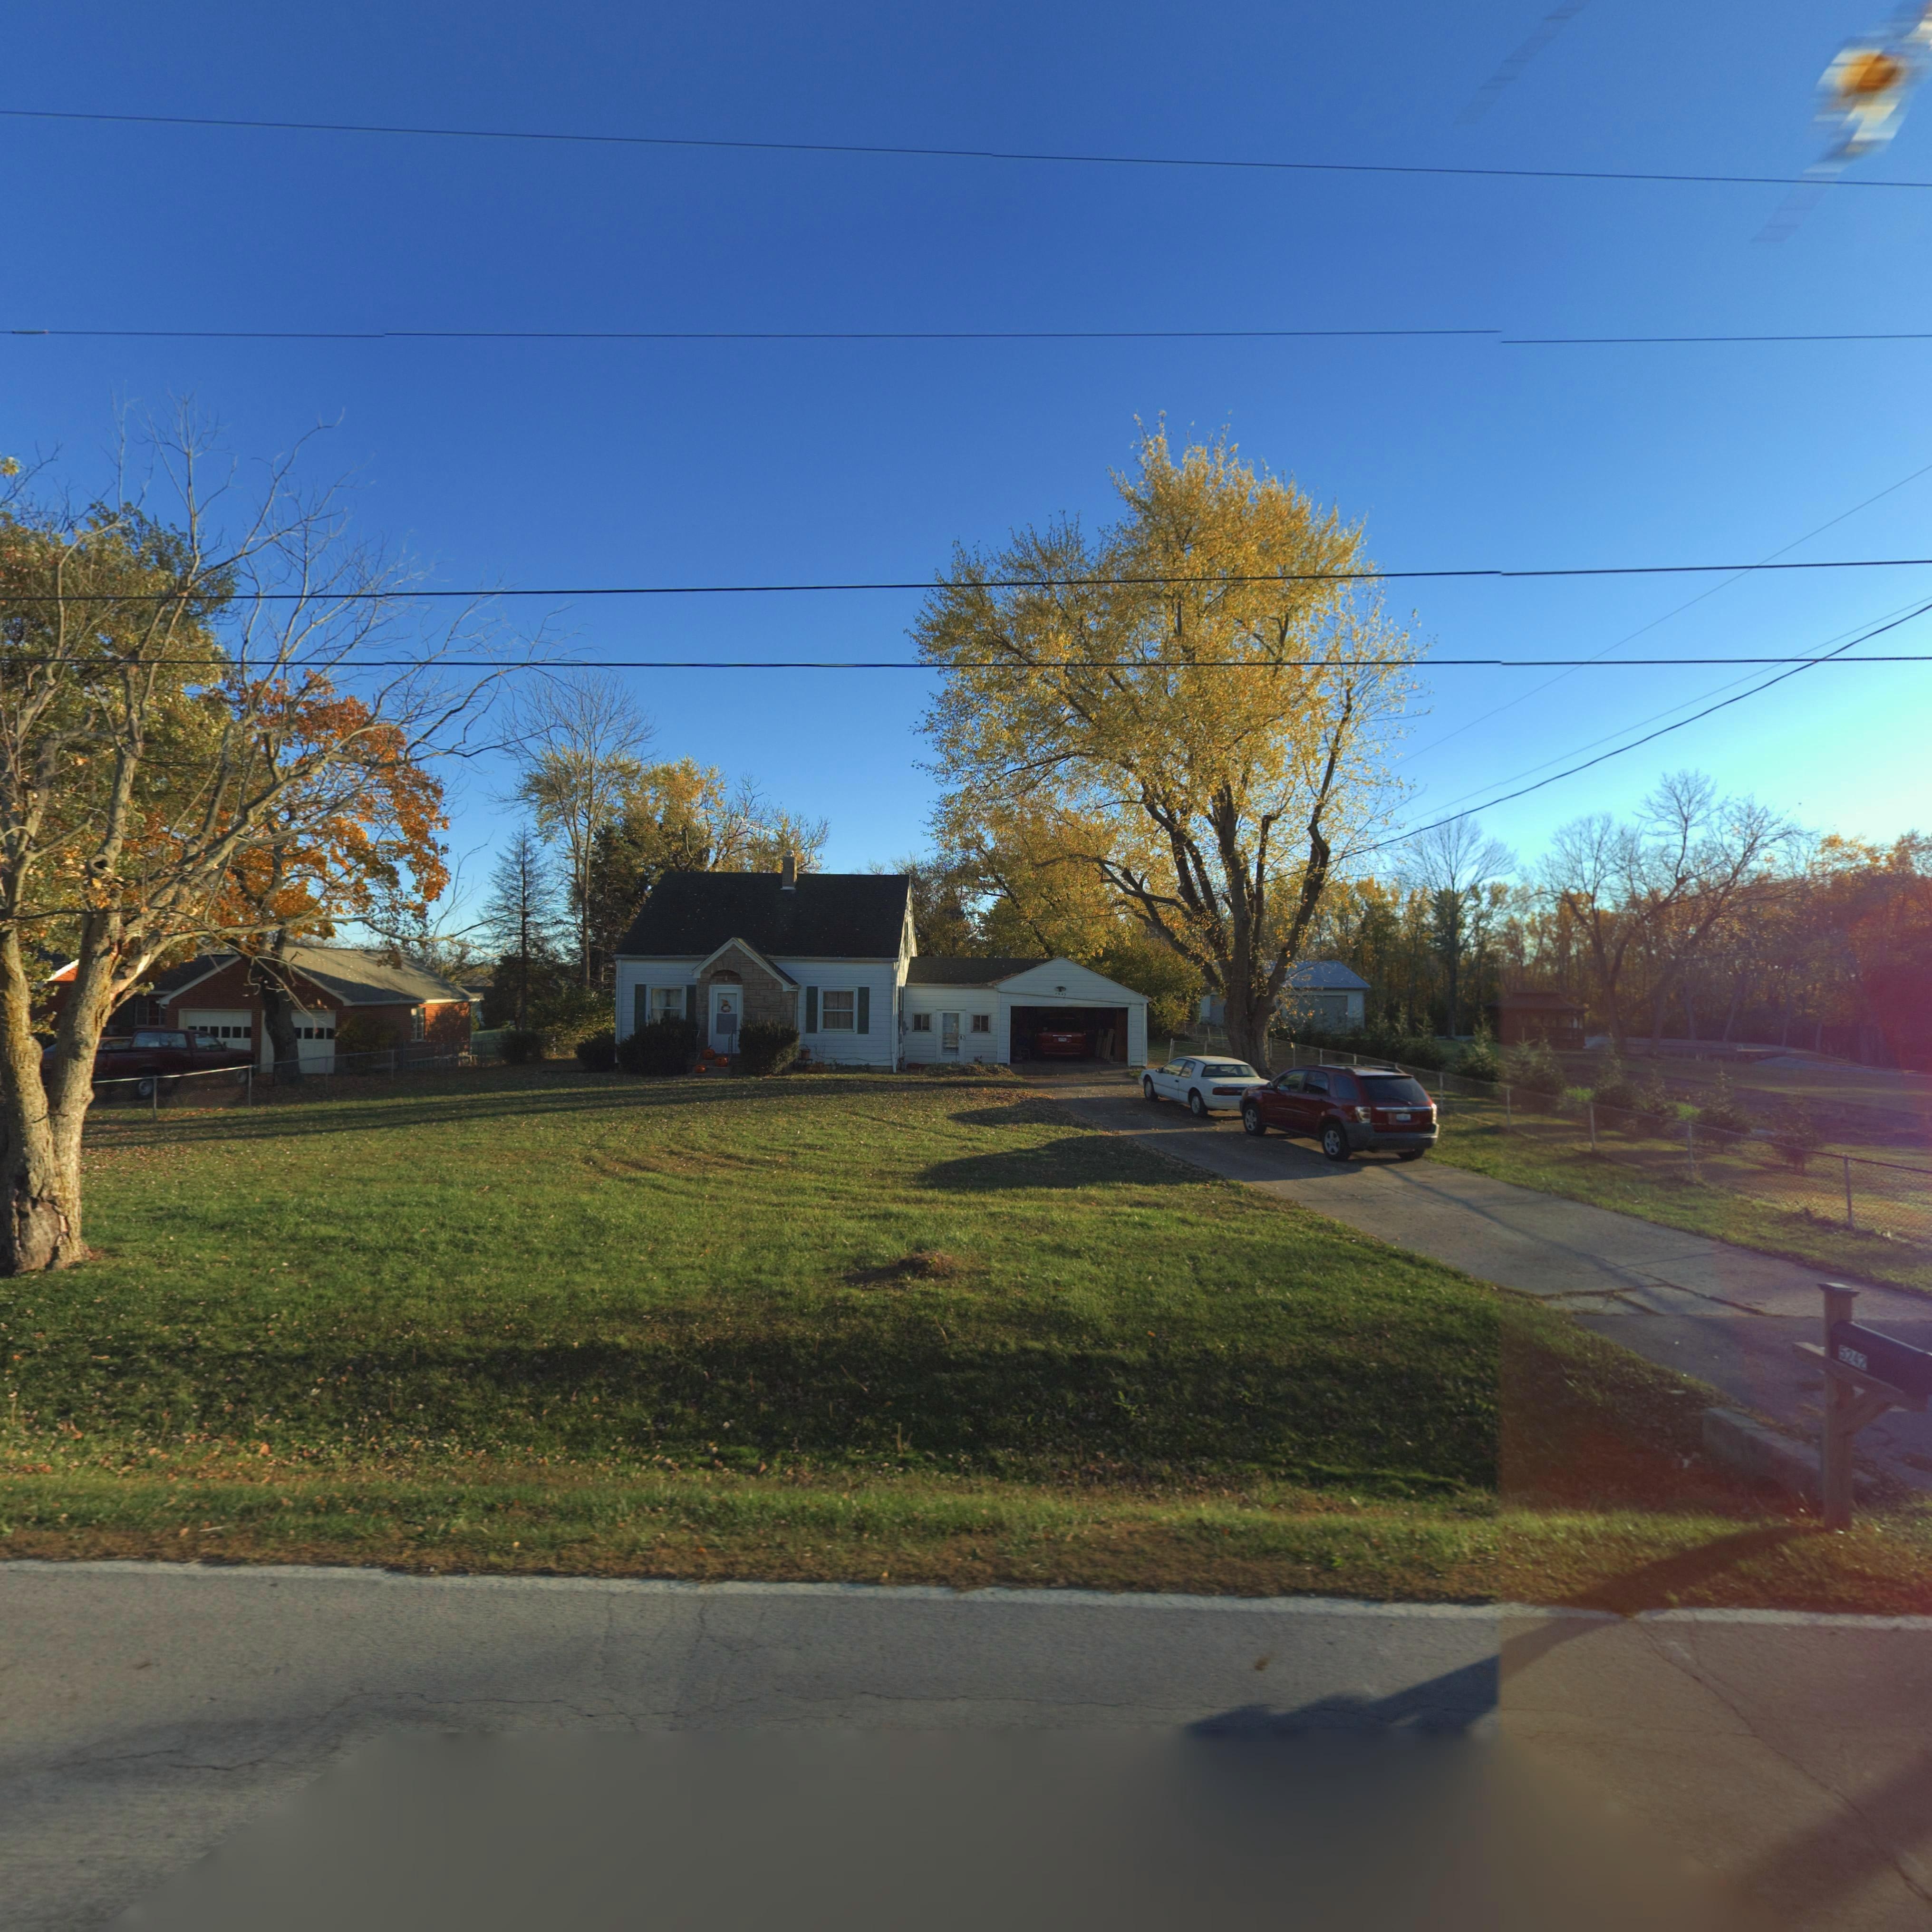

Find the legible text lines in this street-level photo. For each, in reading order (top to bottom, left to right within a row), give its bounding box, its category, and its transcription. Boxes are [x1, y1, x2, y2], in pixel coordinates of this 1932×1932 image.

[1837, 1343, 1868, 1372] StreetNumber: 5242